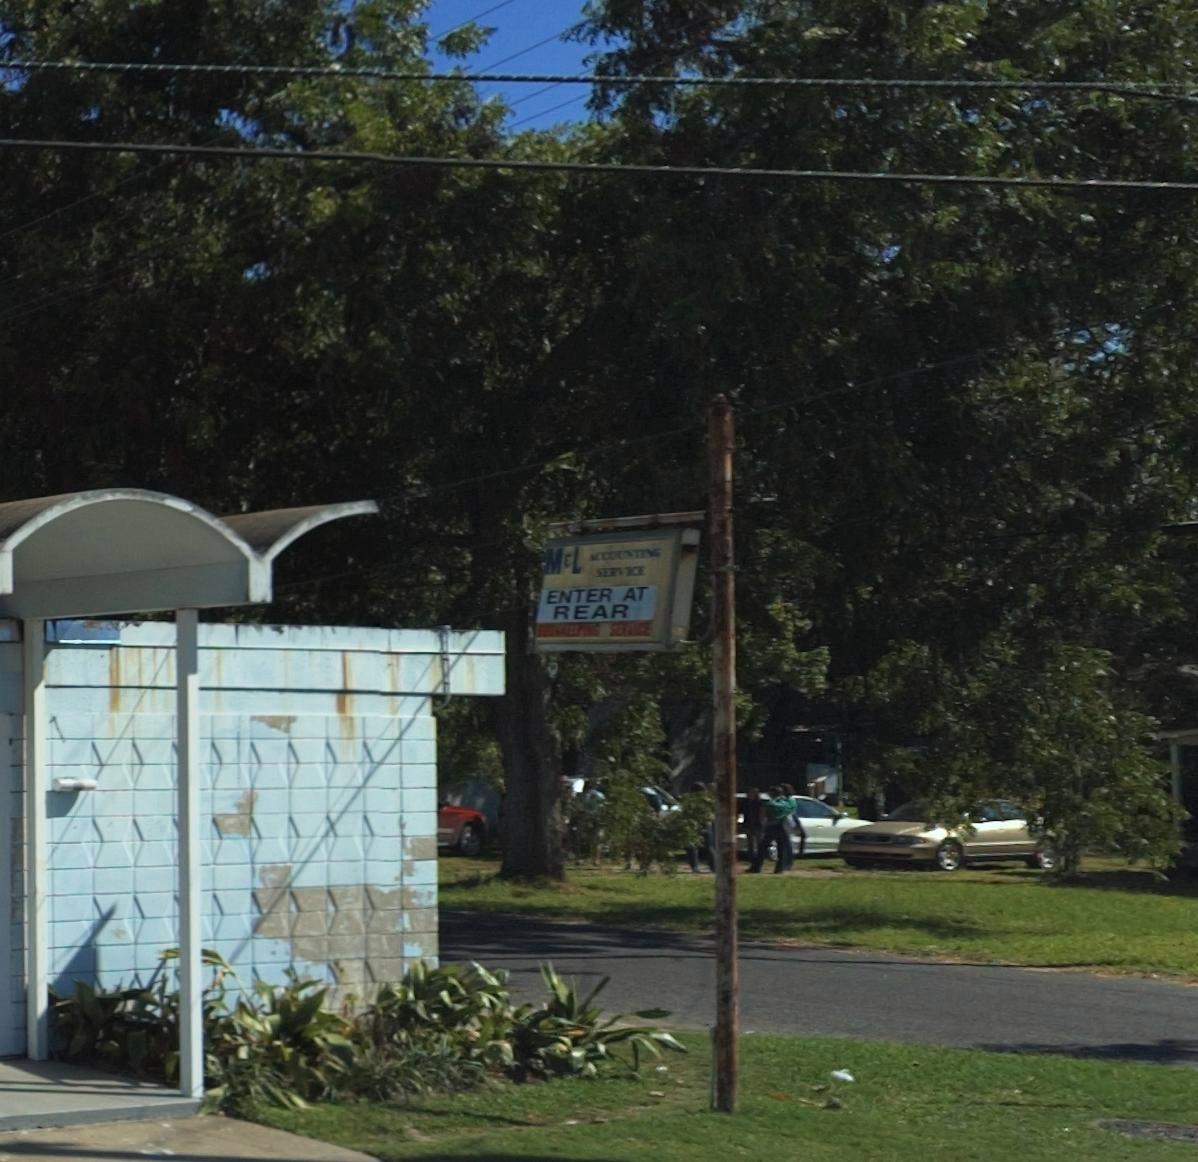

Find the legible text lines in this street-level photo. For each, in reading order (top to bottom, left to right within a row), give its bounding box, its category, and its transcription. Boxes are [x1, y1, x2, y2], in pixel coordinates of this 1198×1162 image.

[541, 541, 664, 577] BusinessName: M &L Accounting
[593, 563, 648, 579] BusinessName: SERVICE
[544, 584, 653, 606] None: ENTER AT
[550, 601, 631, 621] None: REAR